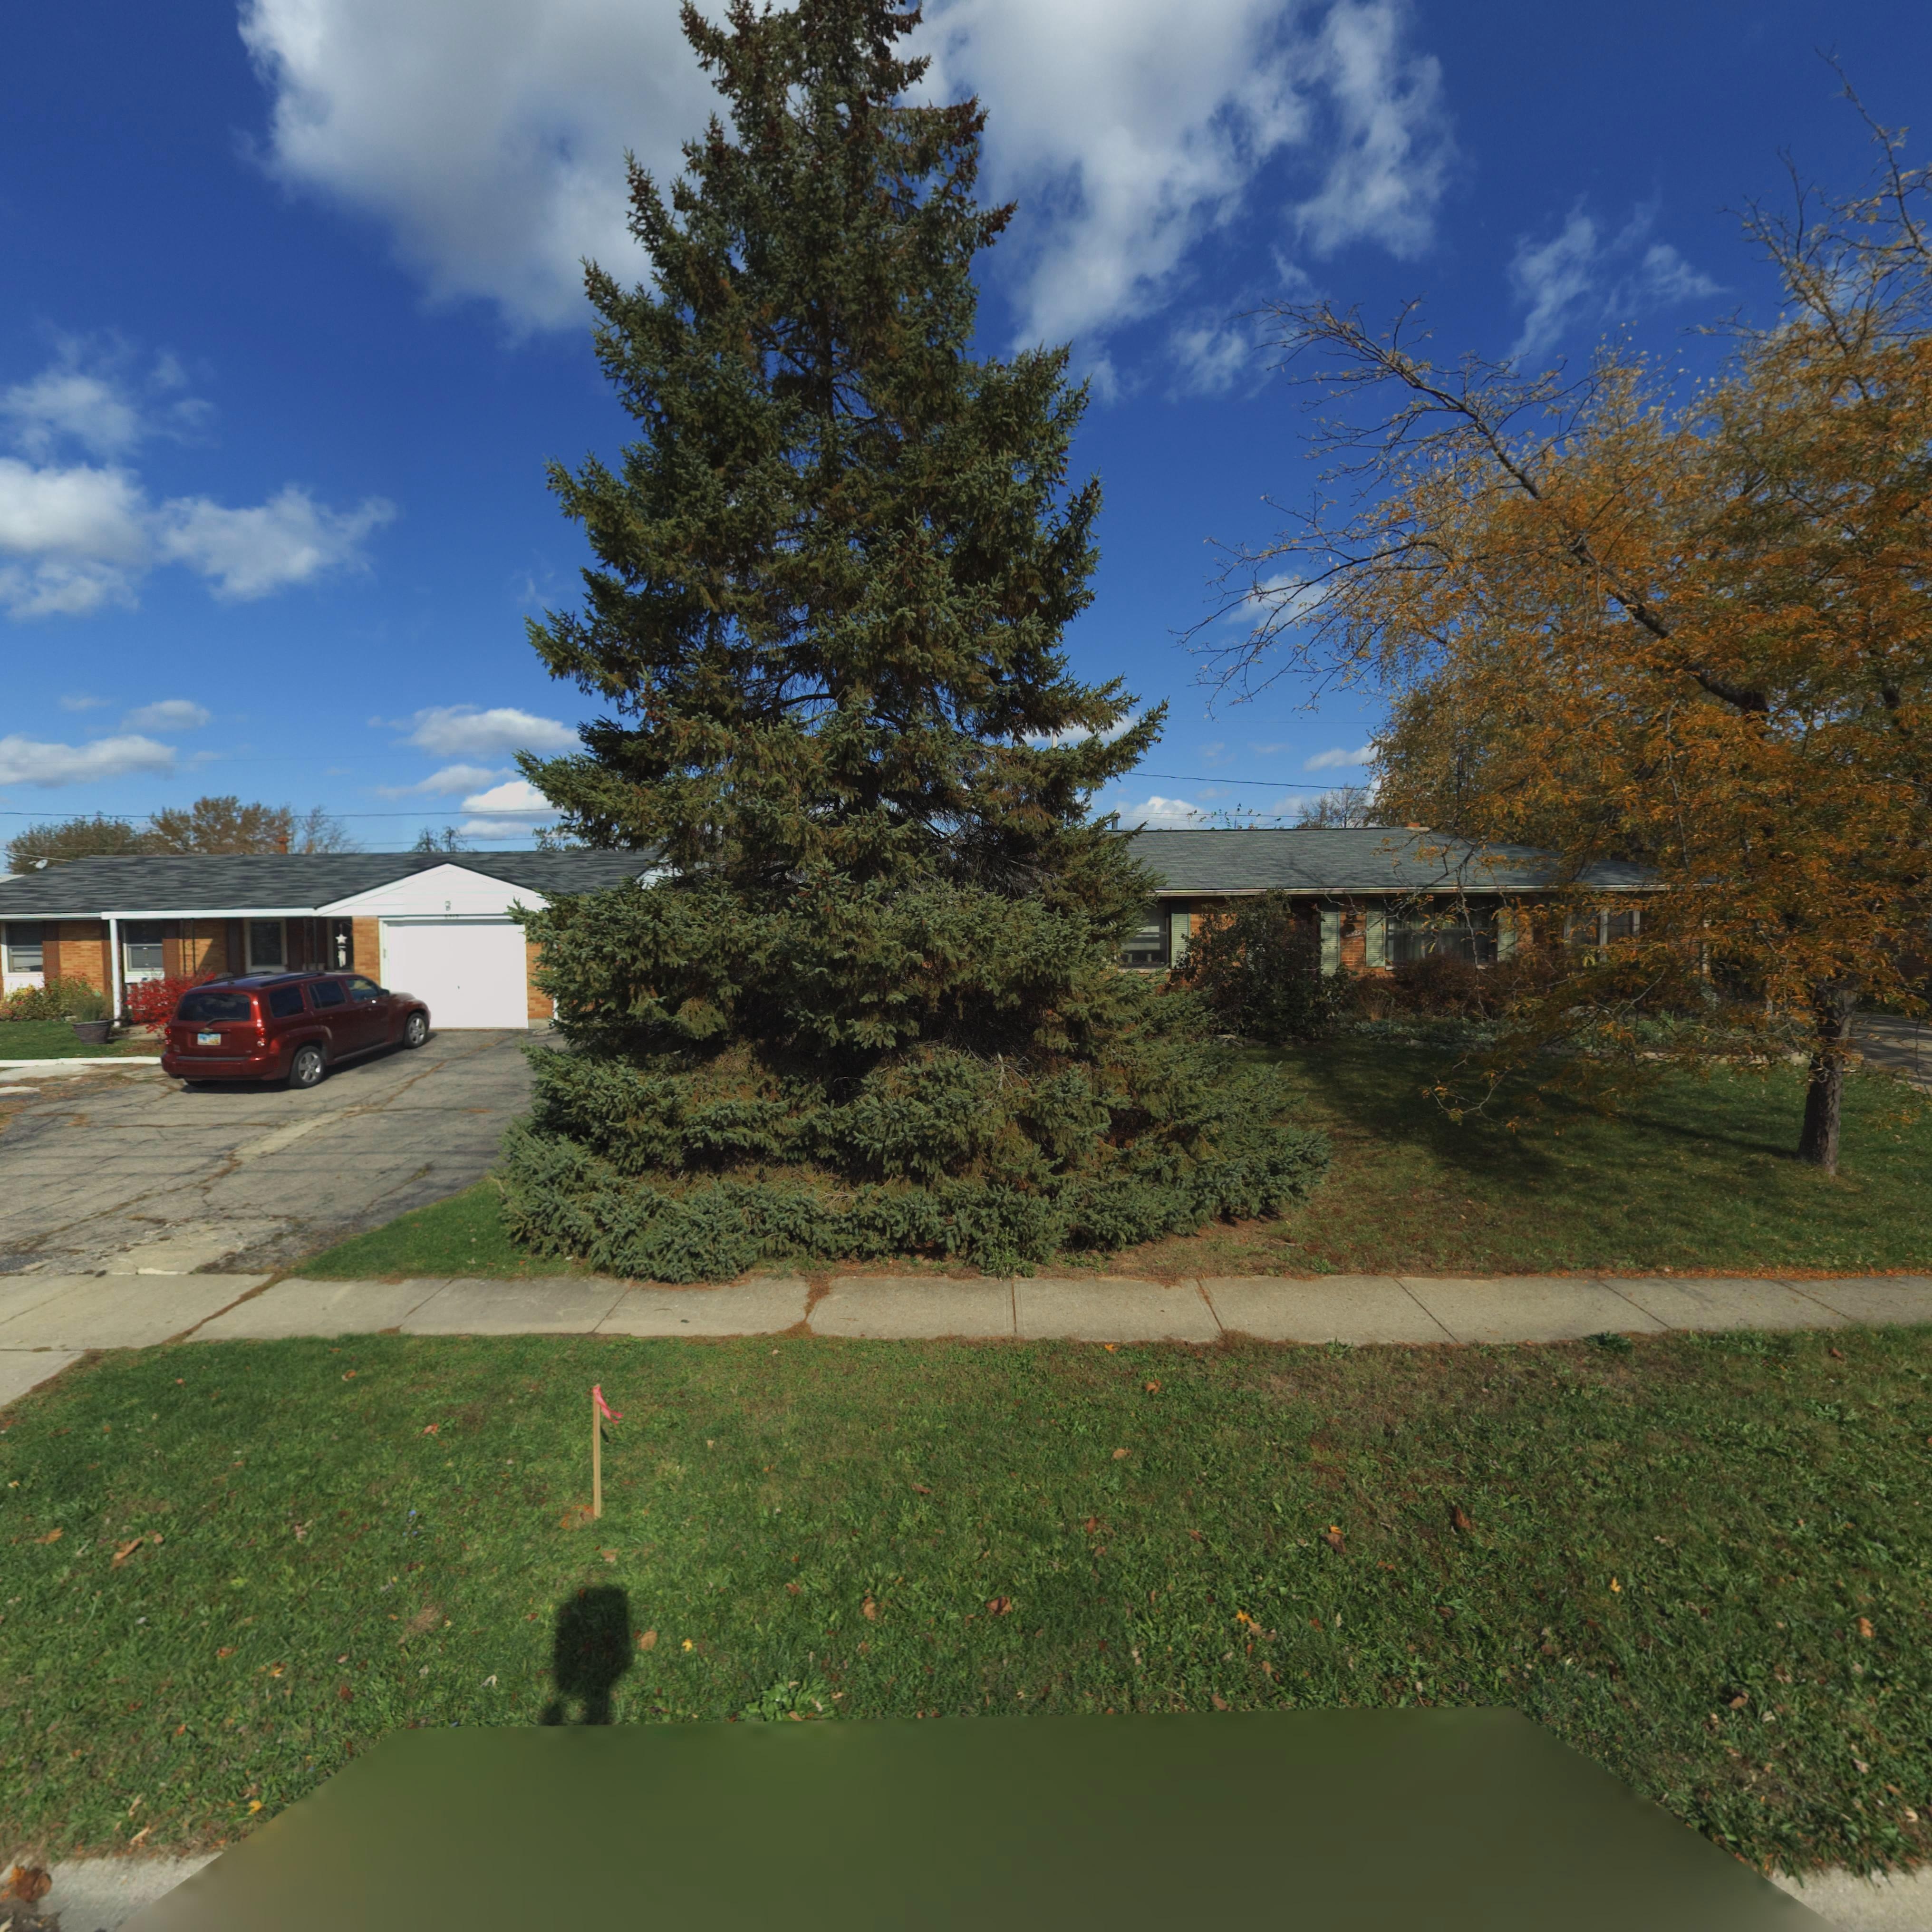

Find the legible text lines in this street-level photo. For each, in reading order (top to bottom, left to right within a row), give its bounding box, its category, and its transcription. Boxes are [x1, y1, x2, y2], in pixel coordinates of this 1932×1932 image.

[444, 913, 459, 919] StreetNumber: 6*1*
[1344, 928, 1363, 937] StreetNumber: 6327